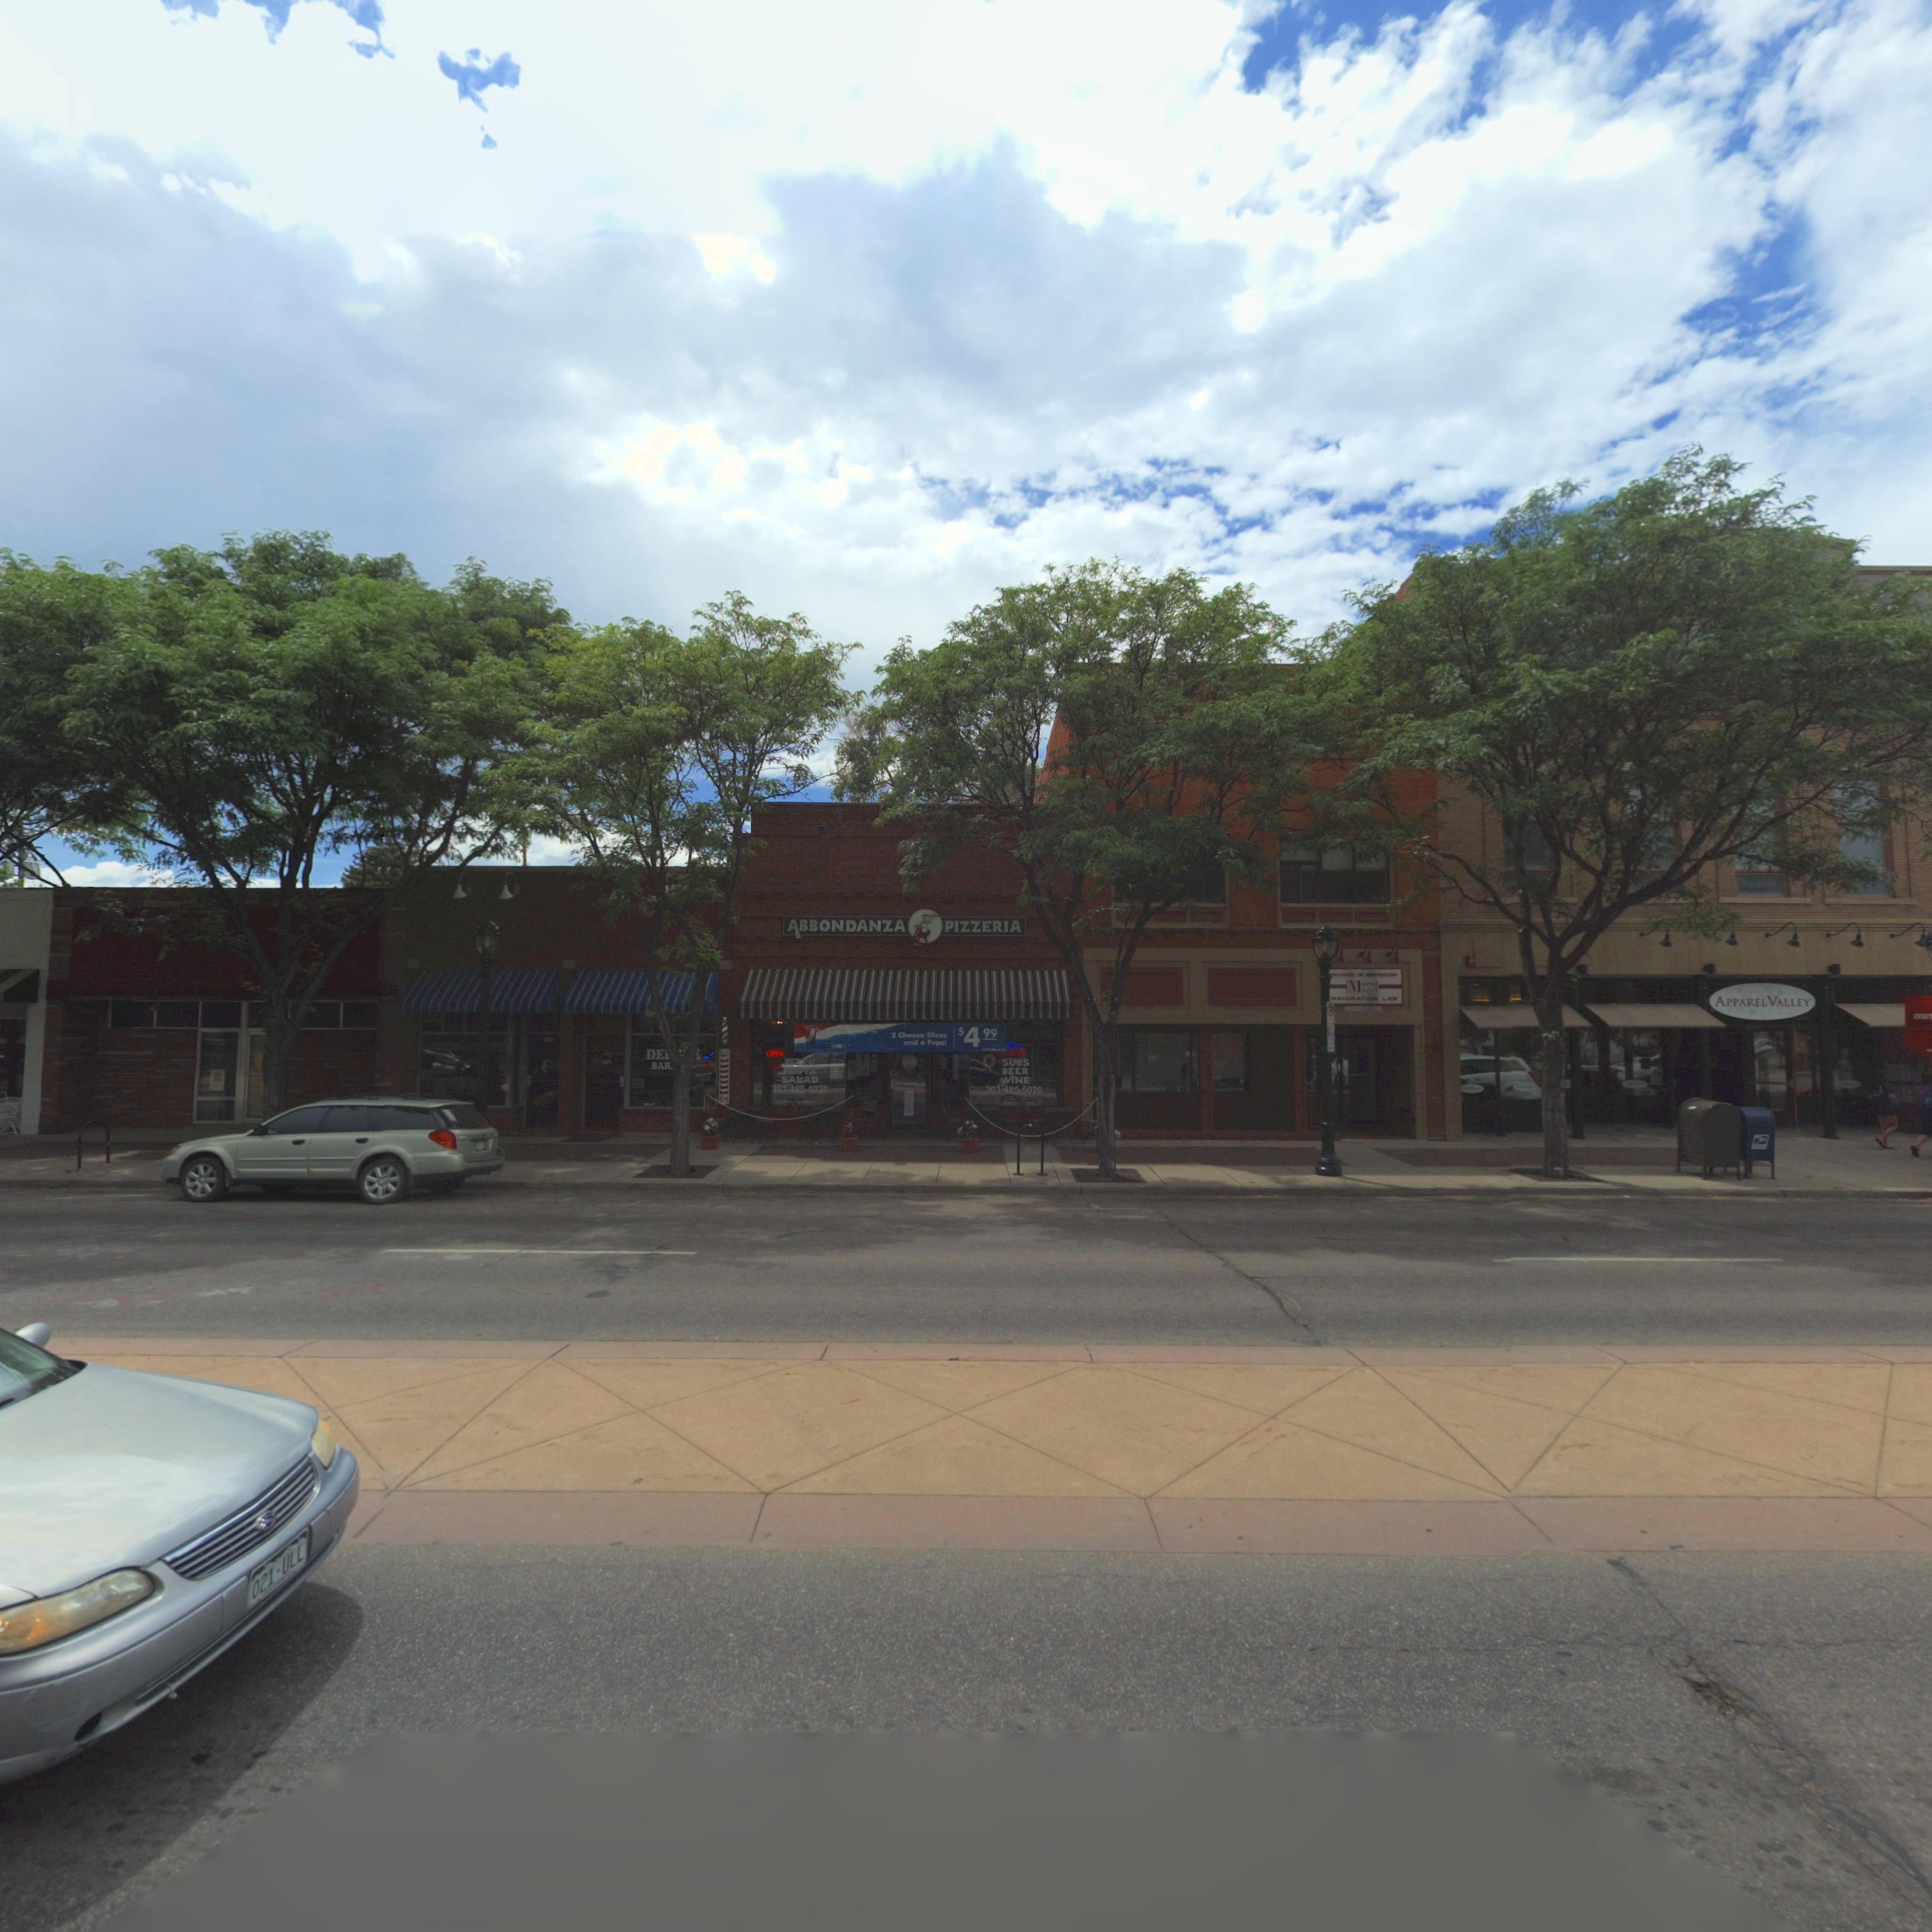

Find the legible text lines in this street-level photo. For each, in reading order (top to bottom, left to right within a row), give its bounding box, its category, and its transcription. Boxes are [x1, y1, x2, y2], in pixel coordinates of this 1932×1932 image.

[786, 919, 1023, 940] BusinessName: ABBONDANZA PIZZERIA
[1362, 979, 1378, 987] BusinessName: *ur**
[1362, 986, 1378, 993] BusinessName: *ur**
[1714, 995, 1812, 1007] BusinessName: APPAREL VALLEY
[646, 1048, 700, 1060] BusinessName: DE****
[651, 1061, 695, 1070] BusinessName: BAR****